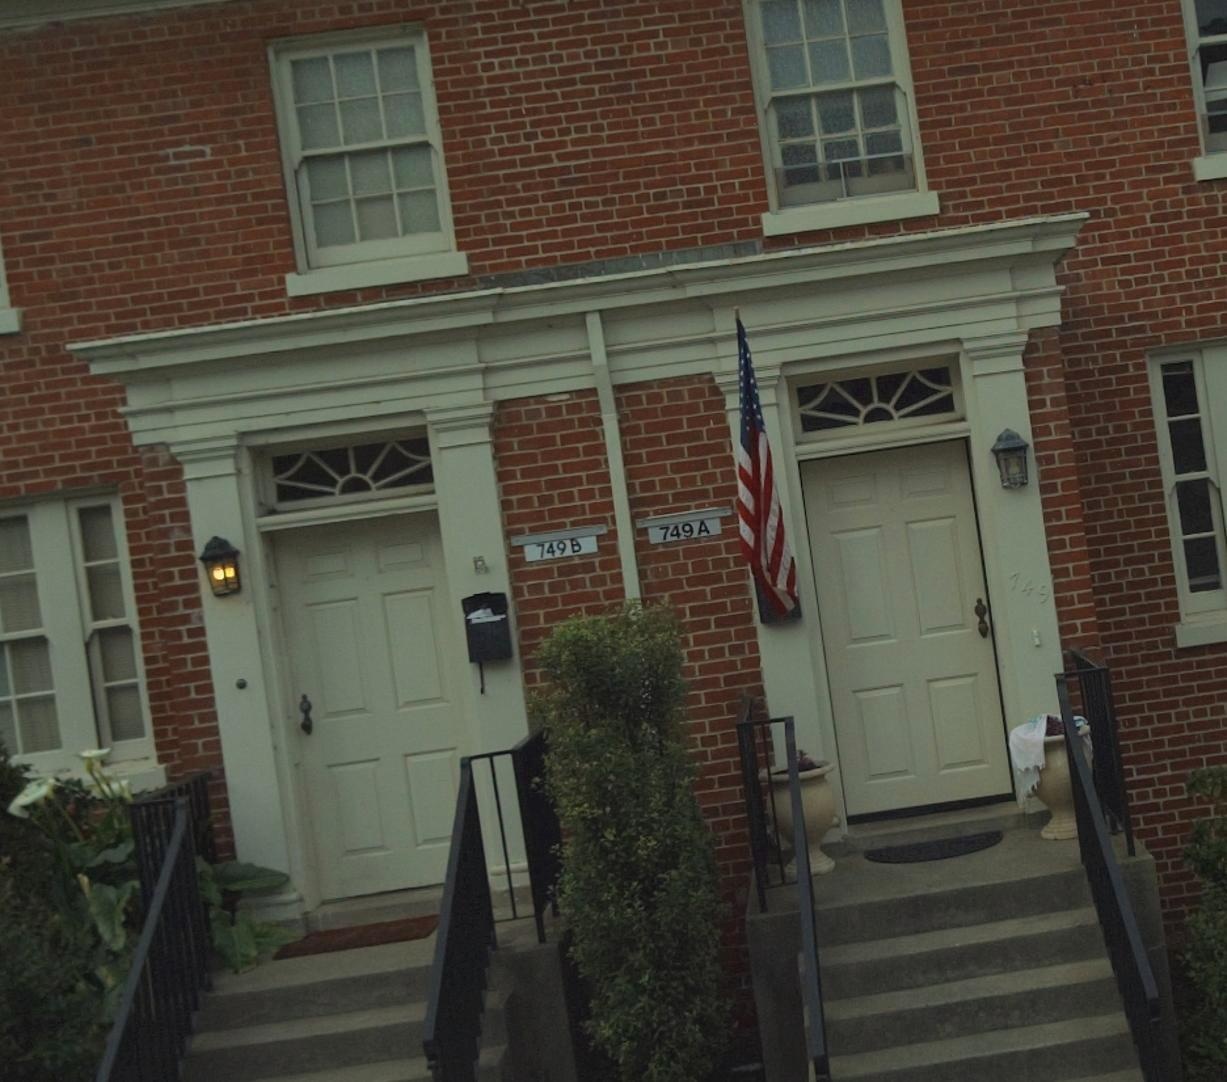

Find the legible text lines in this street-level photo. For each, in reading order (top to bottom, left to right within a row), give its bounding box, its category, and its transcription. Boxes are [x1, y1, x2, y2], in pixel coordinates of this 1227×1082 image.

[658, 518, 712, 542] StreetNumber: 749 A
[535, 536, 583, 560] StreetNumber: 749 B
[1009, 570, 1051, 607] StreetNumber: 749